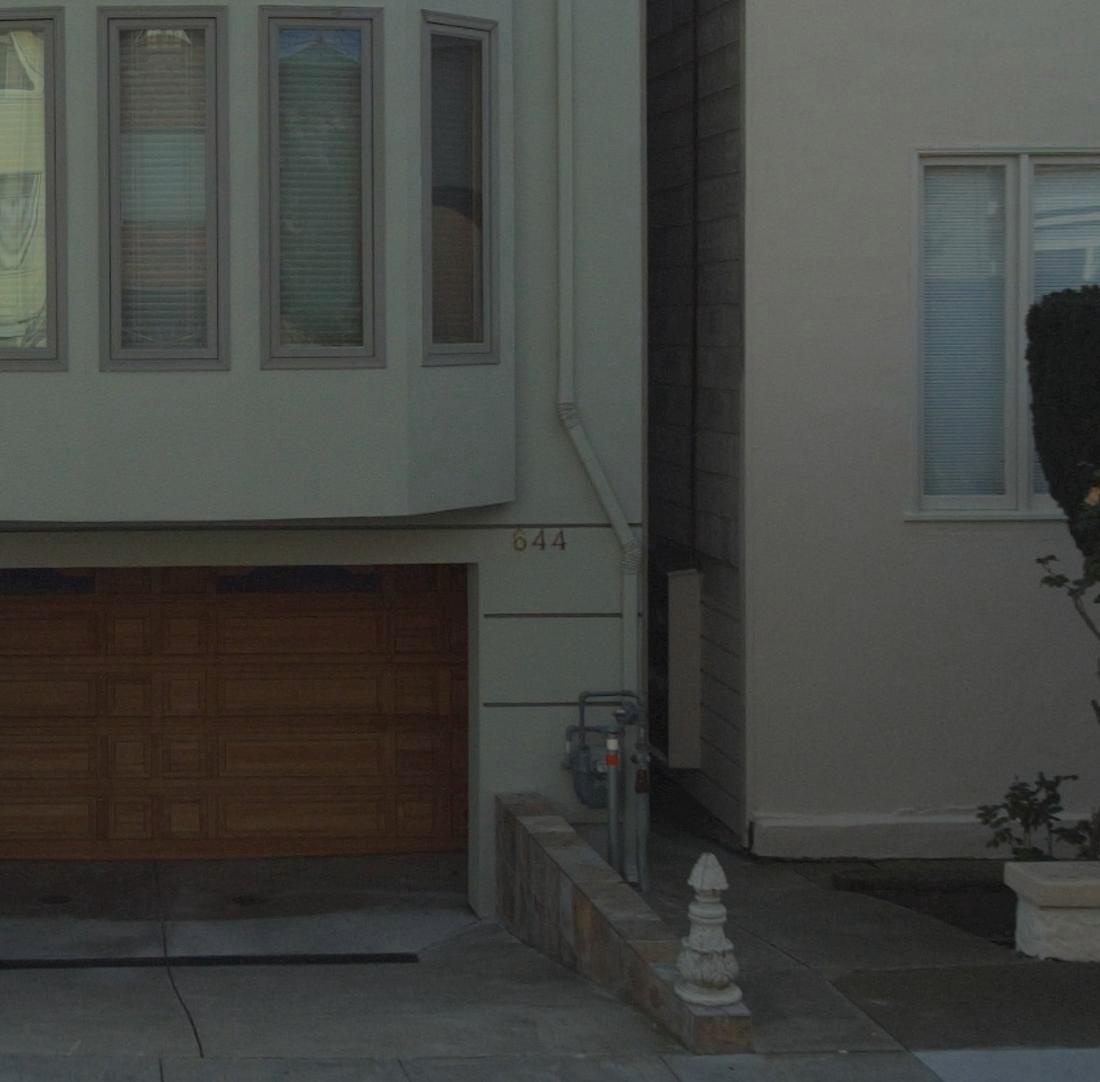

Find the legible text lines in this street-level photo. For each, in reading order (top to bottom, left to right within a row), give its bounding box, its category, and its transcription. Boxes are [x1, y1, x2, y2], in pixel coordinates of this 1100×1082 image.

[510, 524, 570, 554] StreetNumber: 644